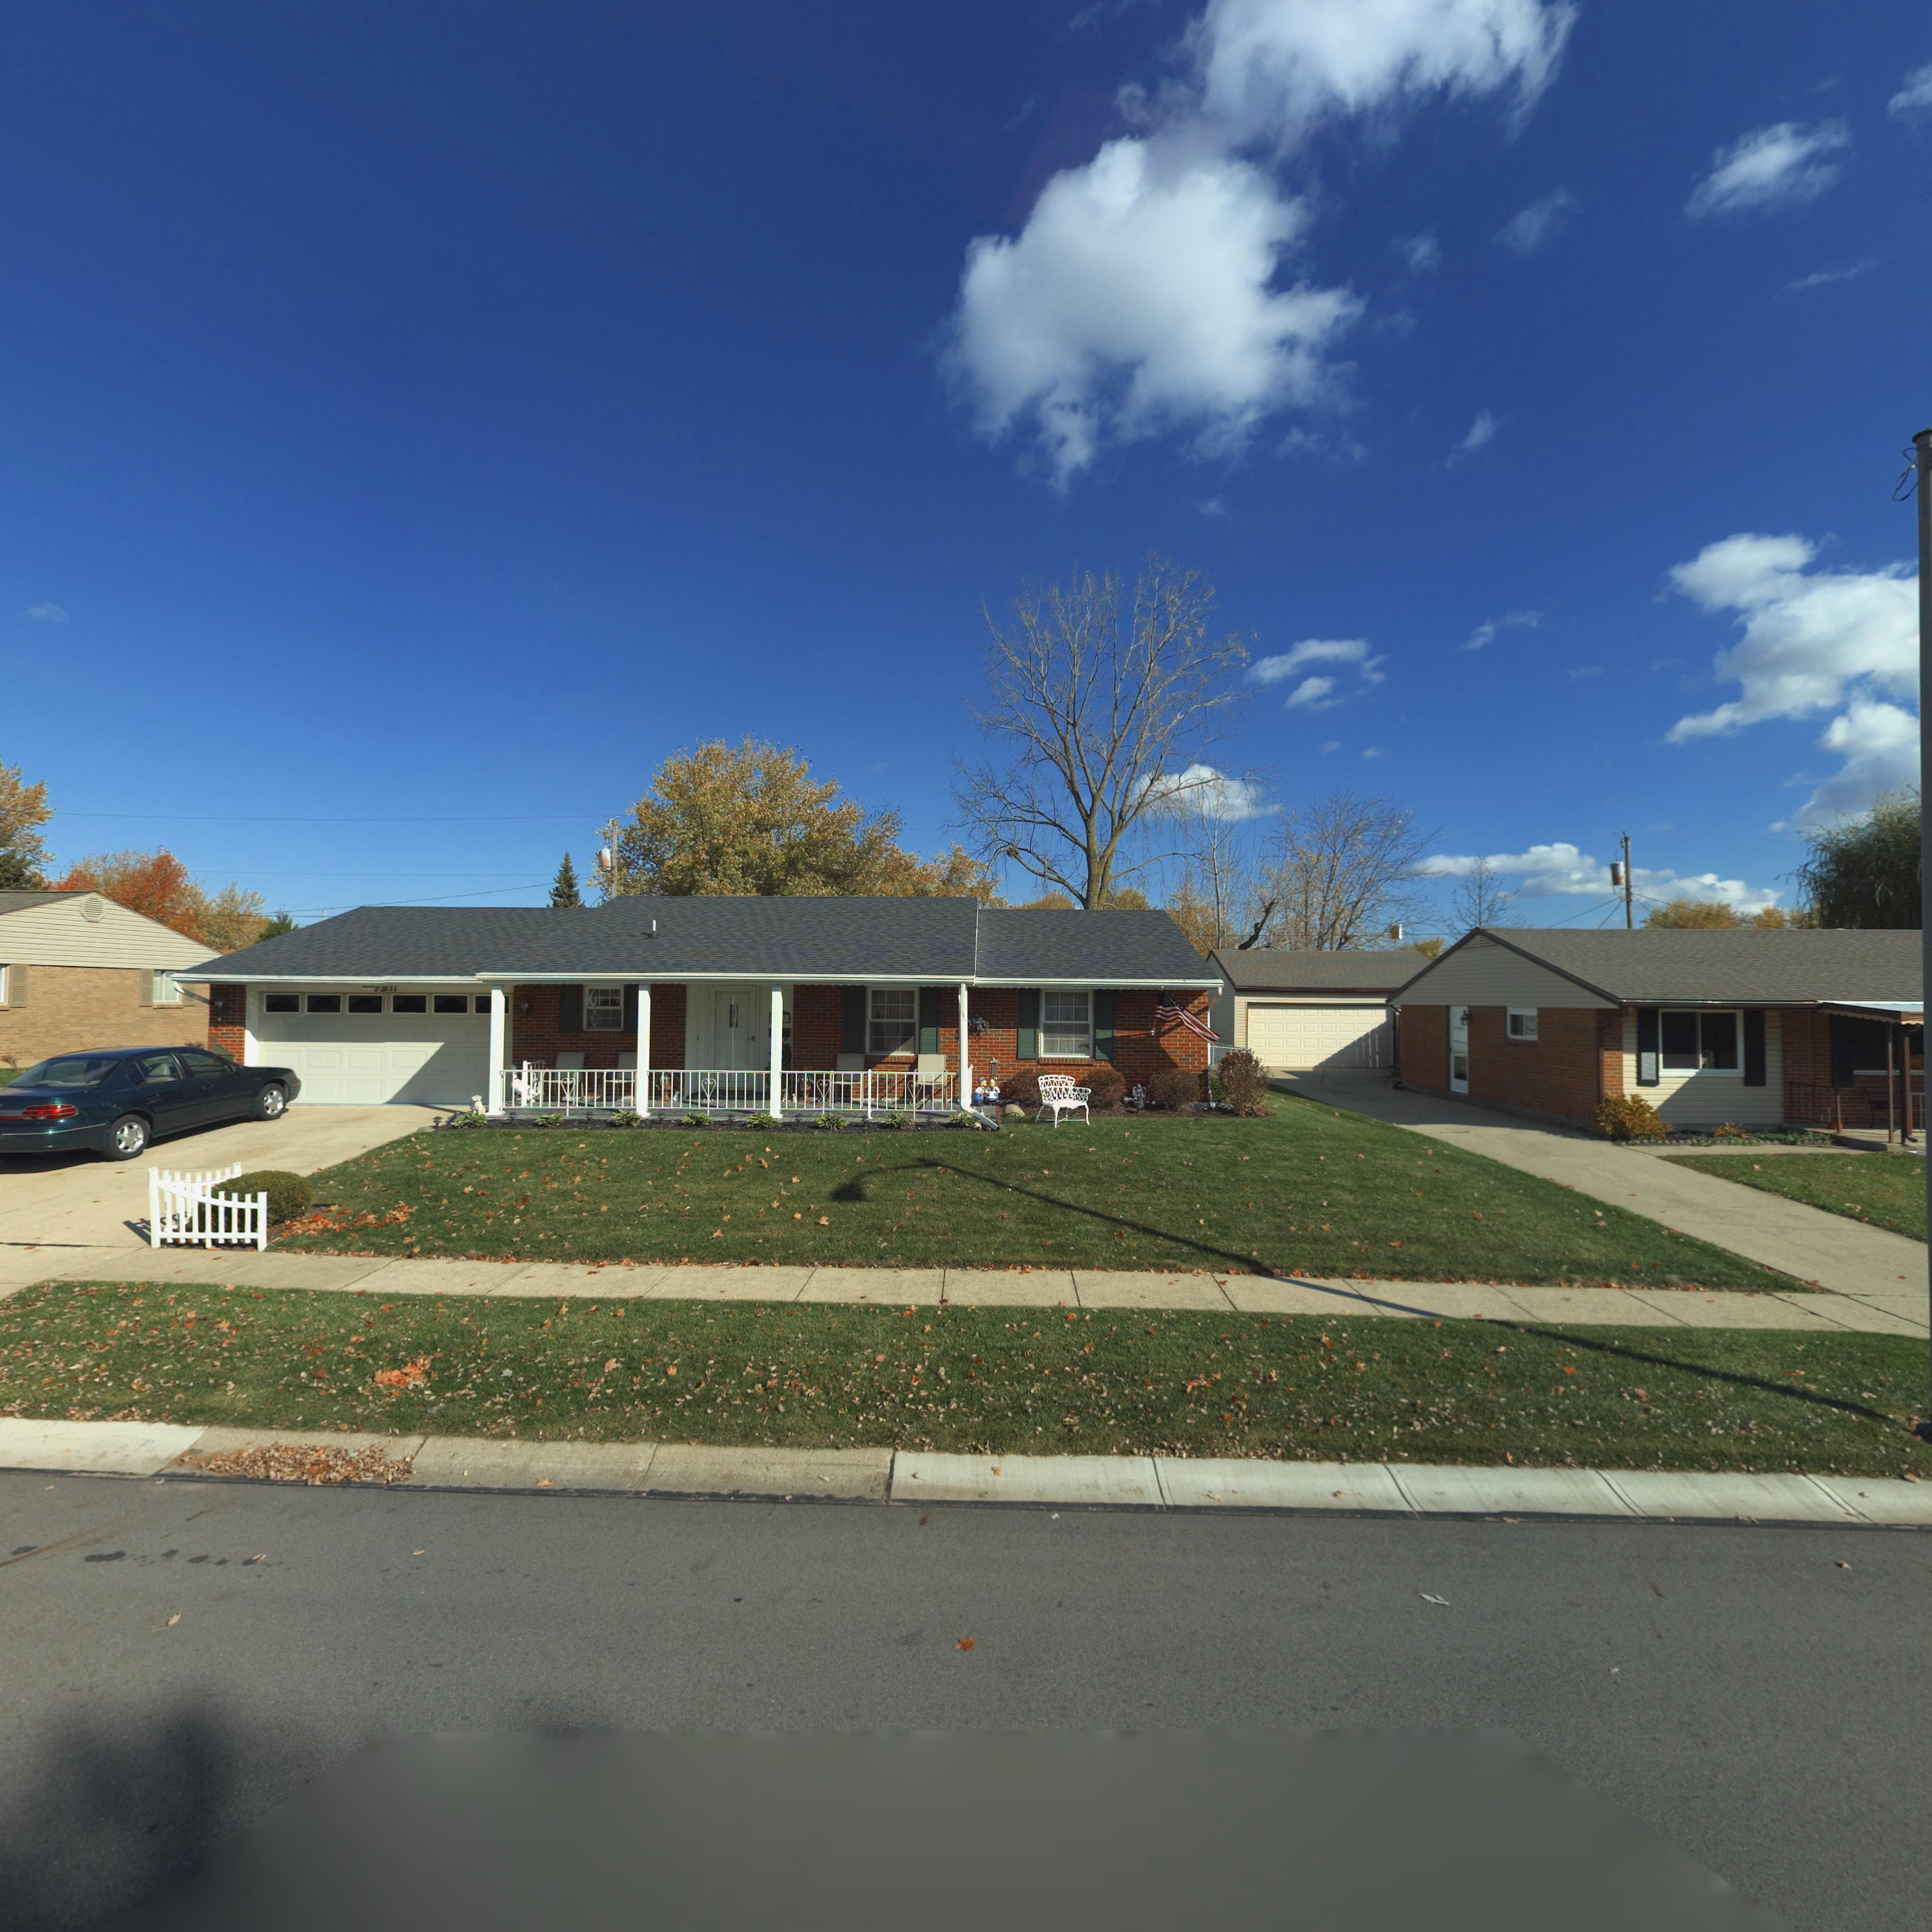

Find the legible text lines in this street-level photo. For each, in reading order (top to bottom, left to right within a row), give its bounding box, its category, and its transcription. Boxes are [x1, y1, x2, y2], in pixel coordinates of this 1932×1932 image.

[783, 1015, 787, 1022] StreetNumber: 1